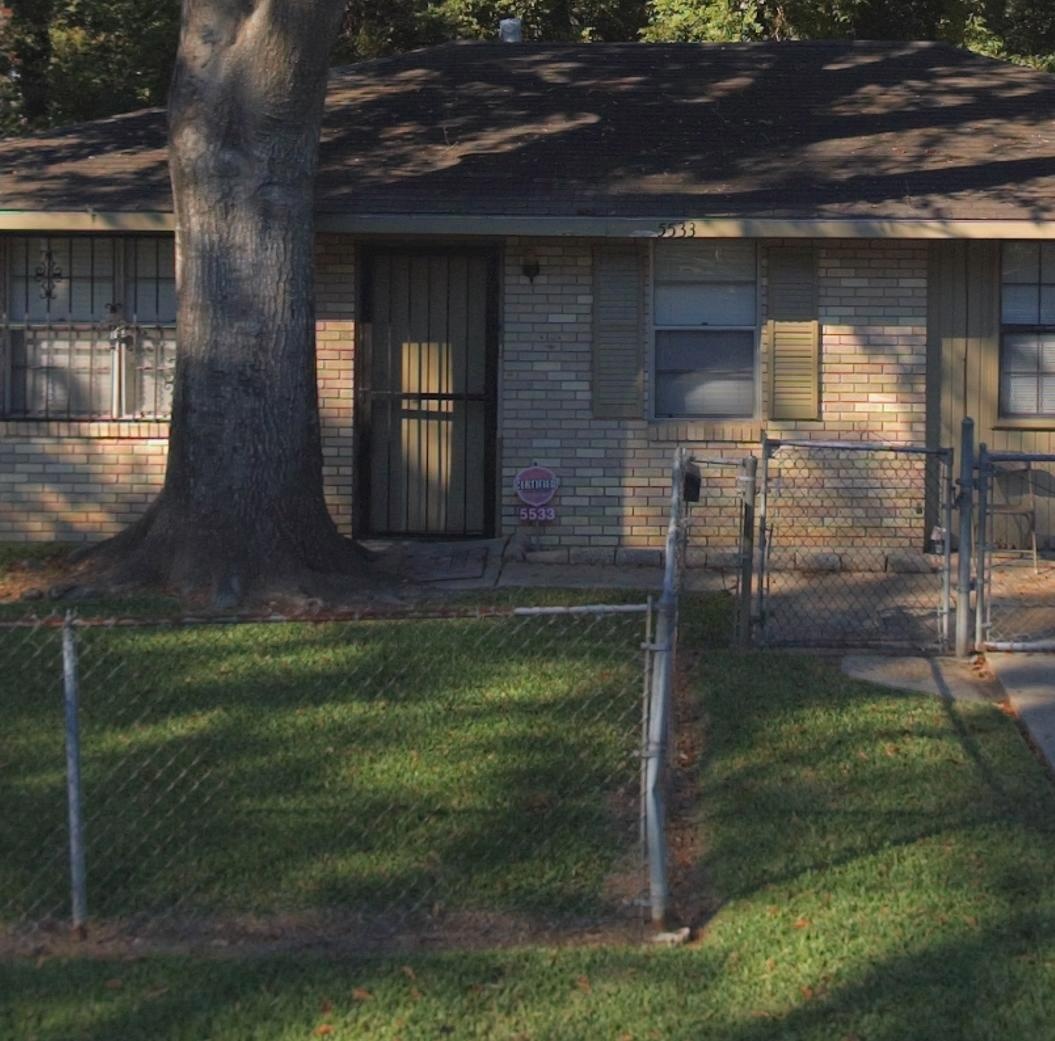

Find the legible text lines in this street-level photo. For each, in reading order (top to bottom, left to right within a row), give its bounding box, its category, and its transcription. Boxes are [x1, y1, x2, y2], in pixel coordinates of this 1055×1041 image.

[657, 220, 696, 238] StreetNumber: 5533
[520, 479, 555, 489] None: ERTIFIED
[518, 507, 558, 521] StreetNumber: 5533